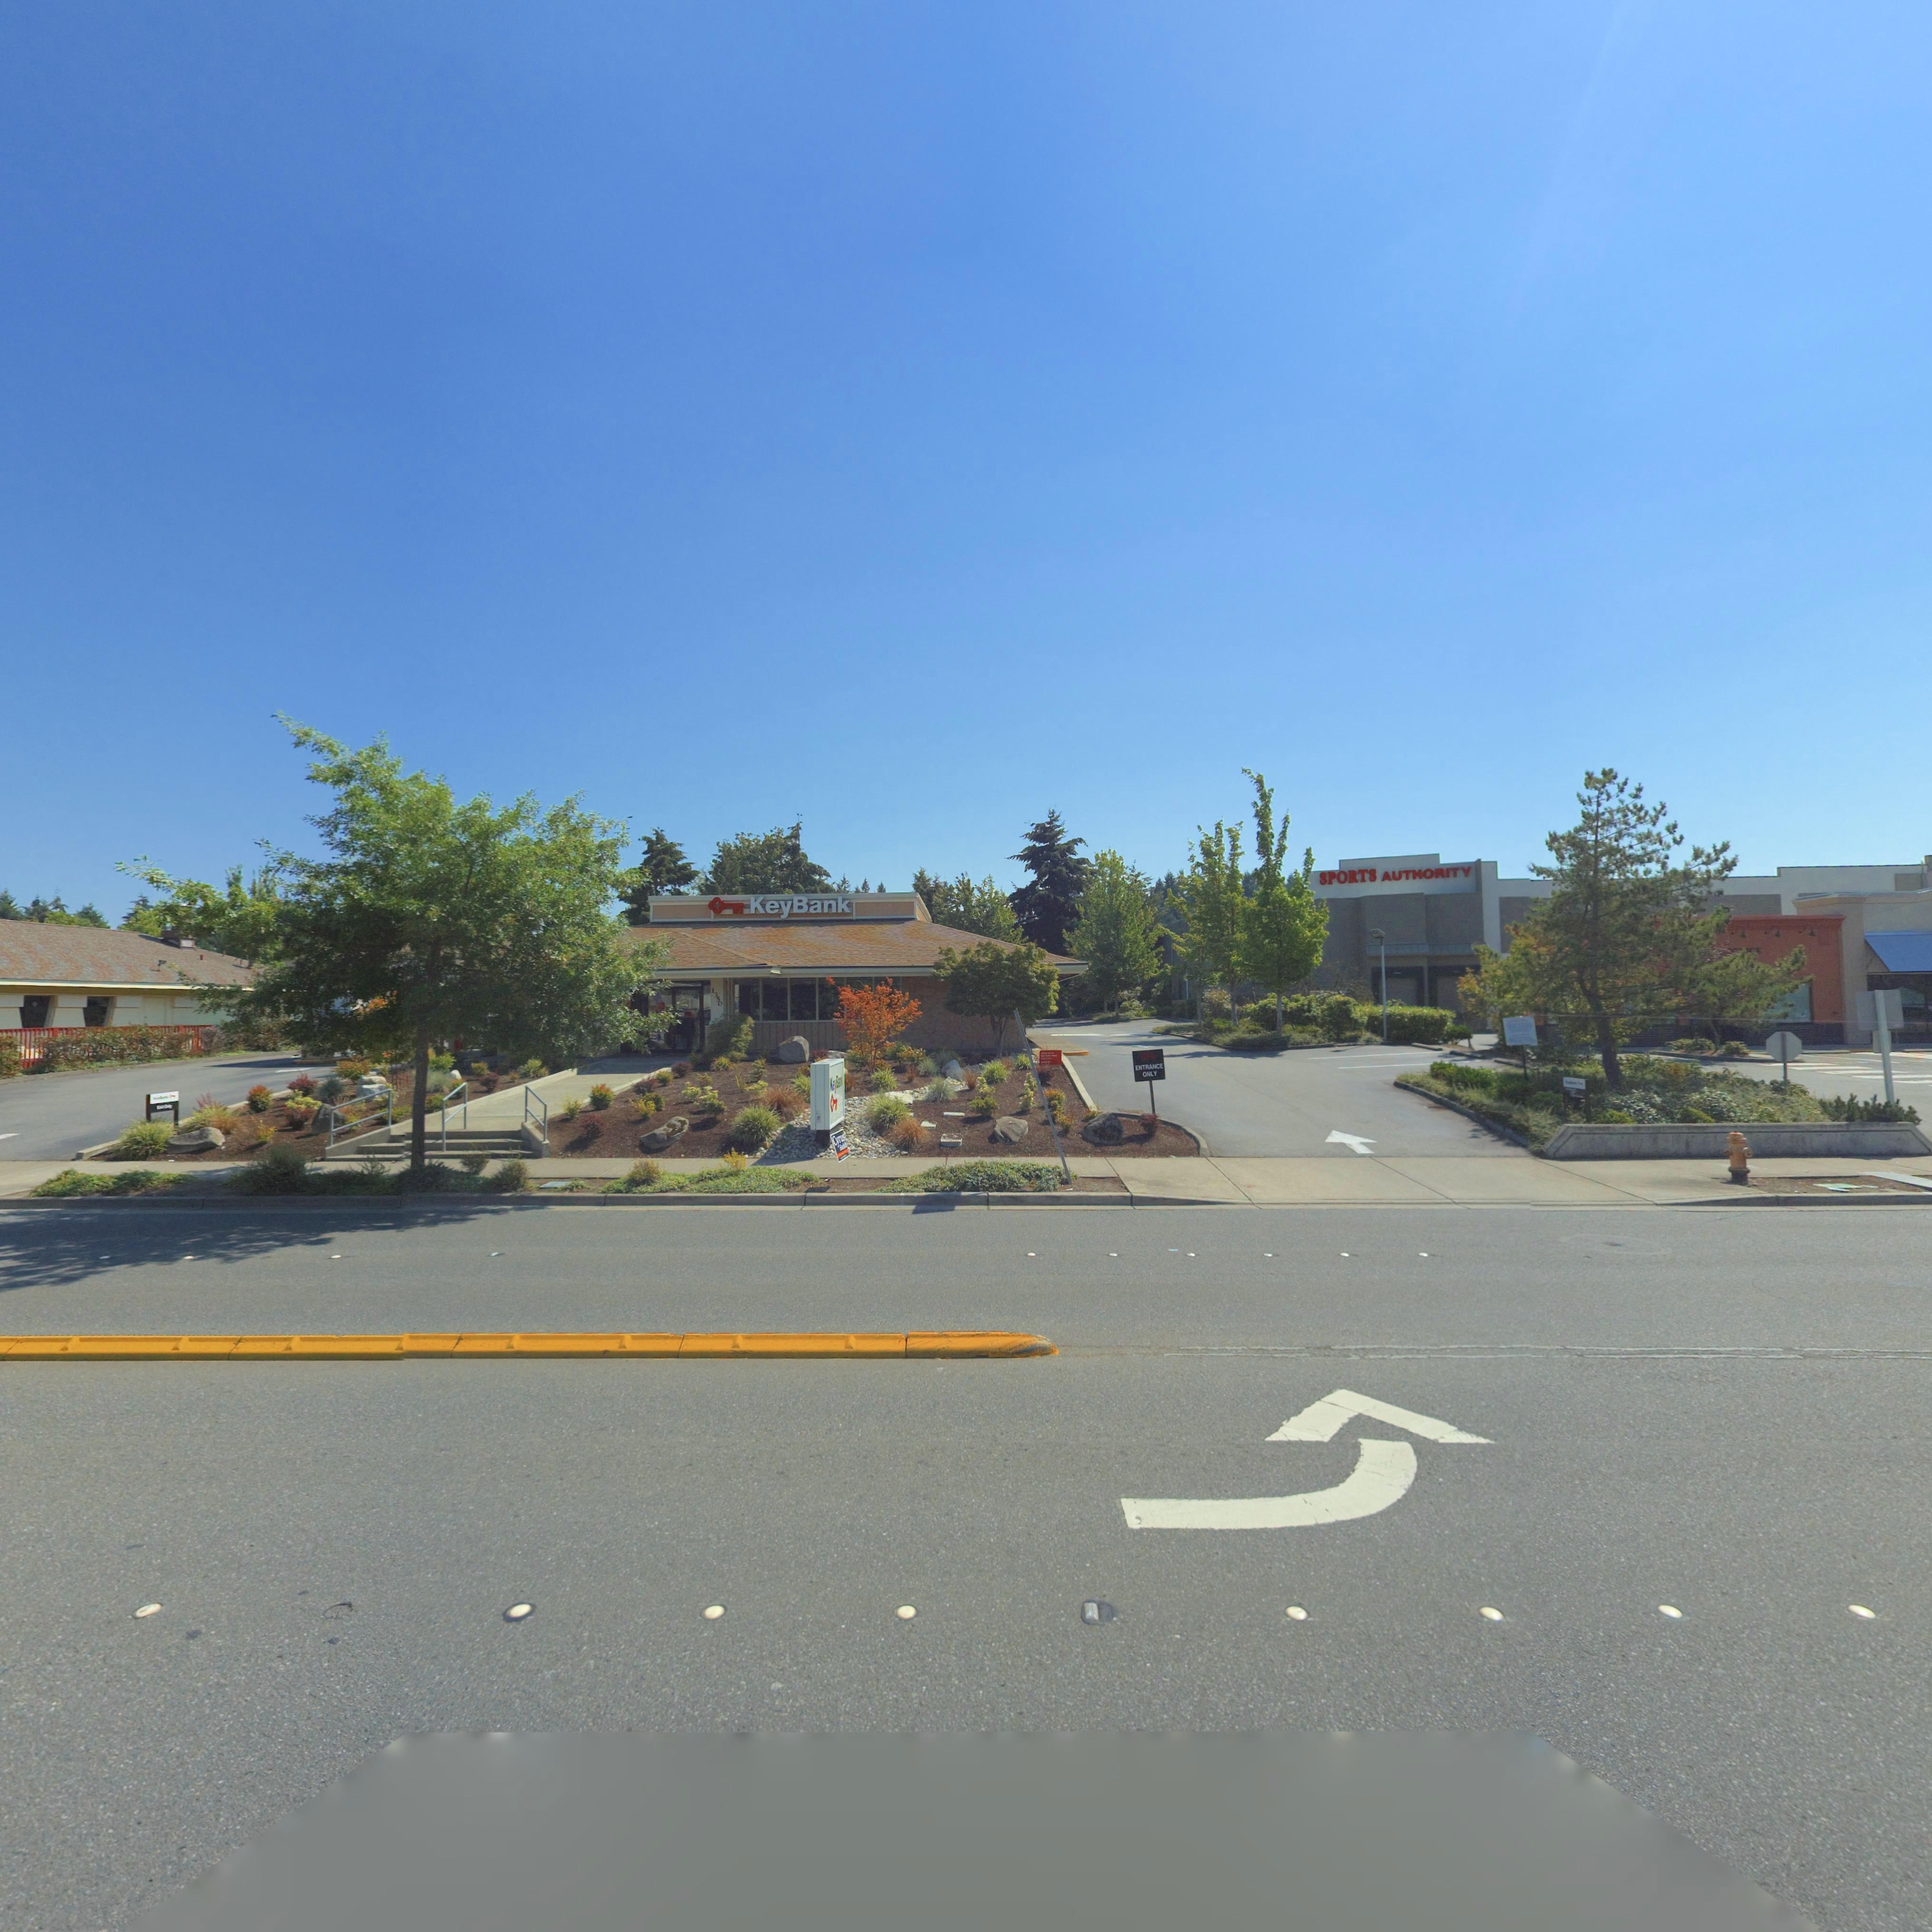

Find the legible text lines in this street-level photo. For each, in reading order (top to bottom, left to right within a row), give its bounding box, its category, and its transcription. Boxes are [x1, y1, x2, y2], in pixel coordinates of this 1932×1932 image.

[1318, 864, 1473, 886] BusinessName: SPORTS AUTHORITY
[750, 896, 850, 918] BusinessName: KeyBank
[710, 985, 724, 1007] StreetNumber: 1350